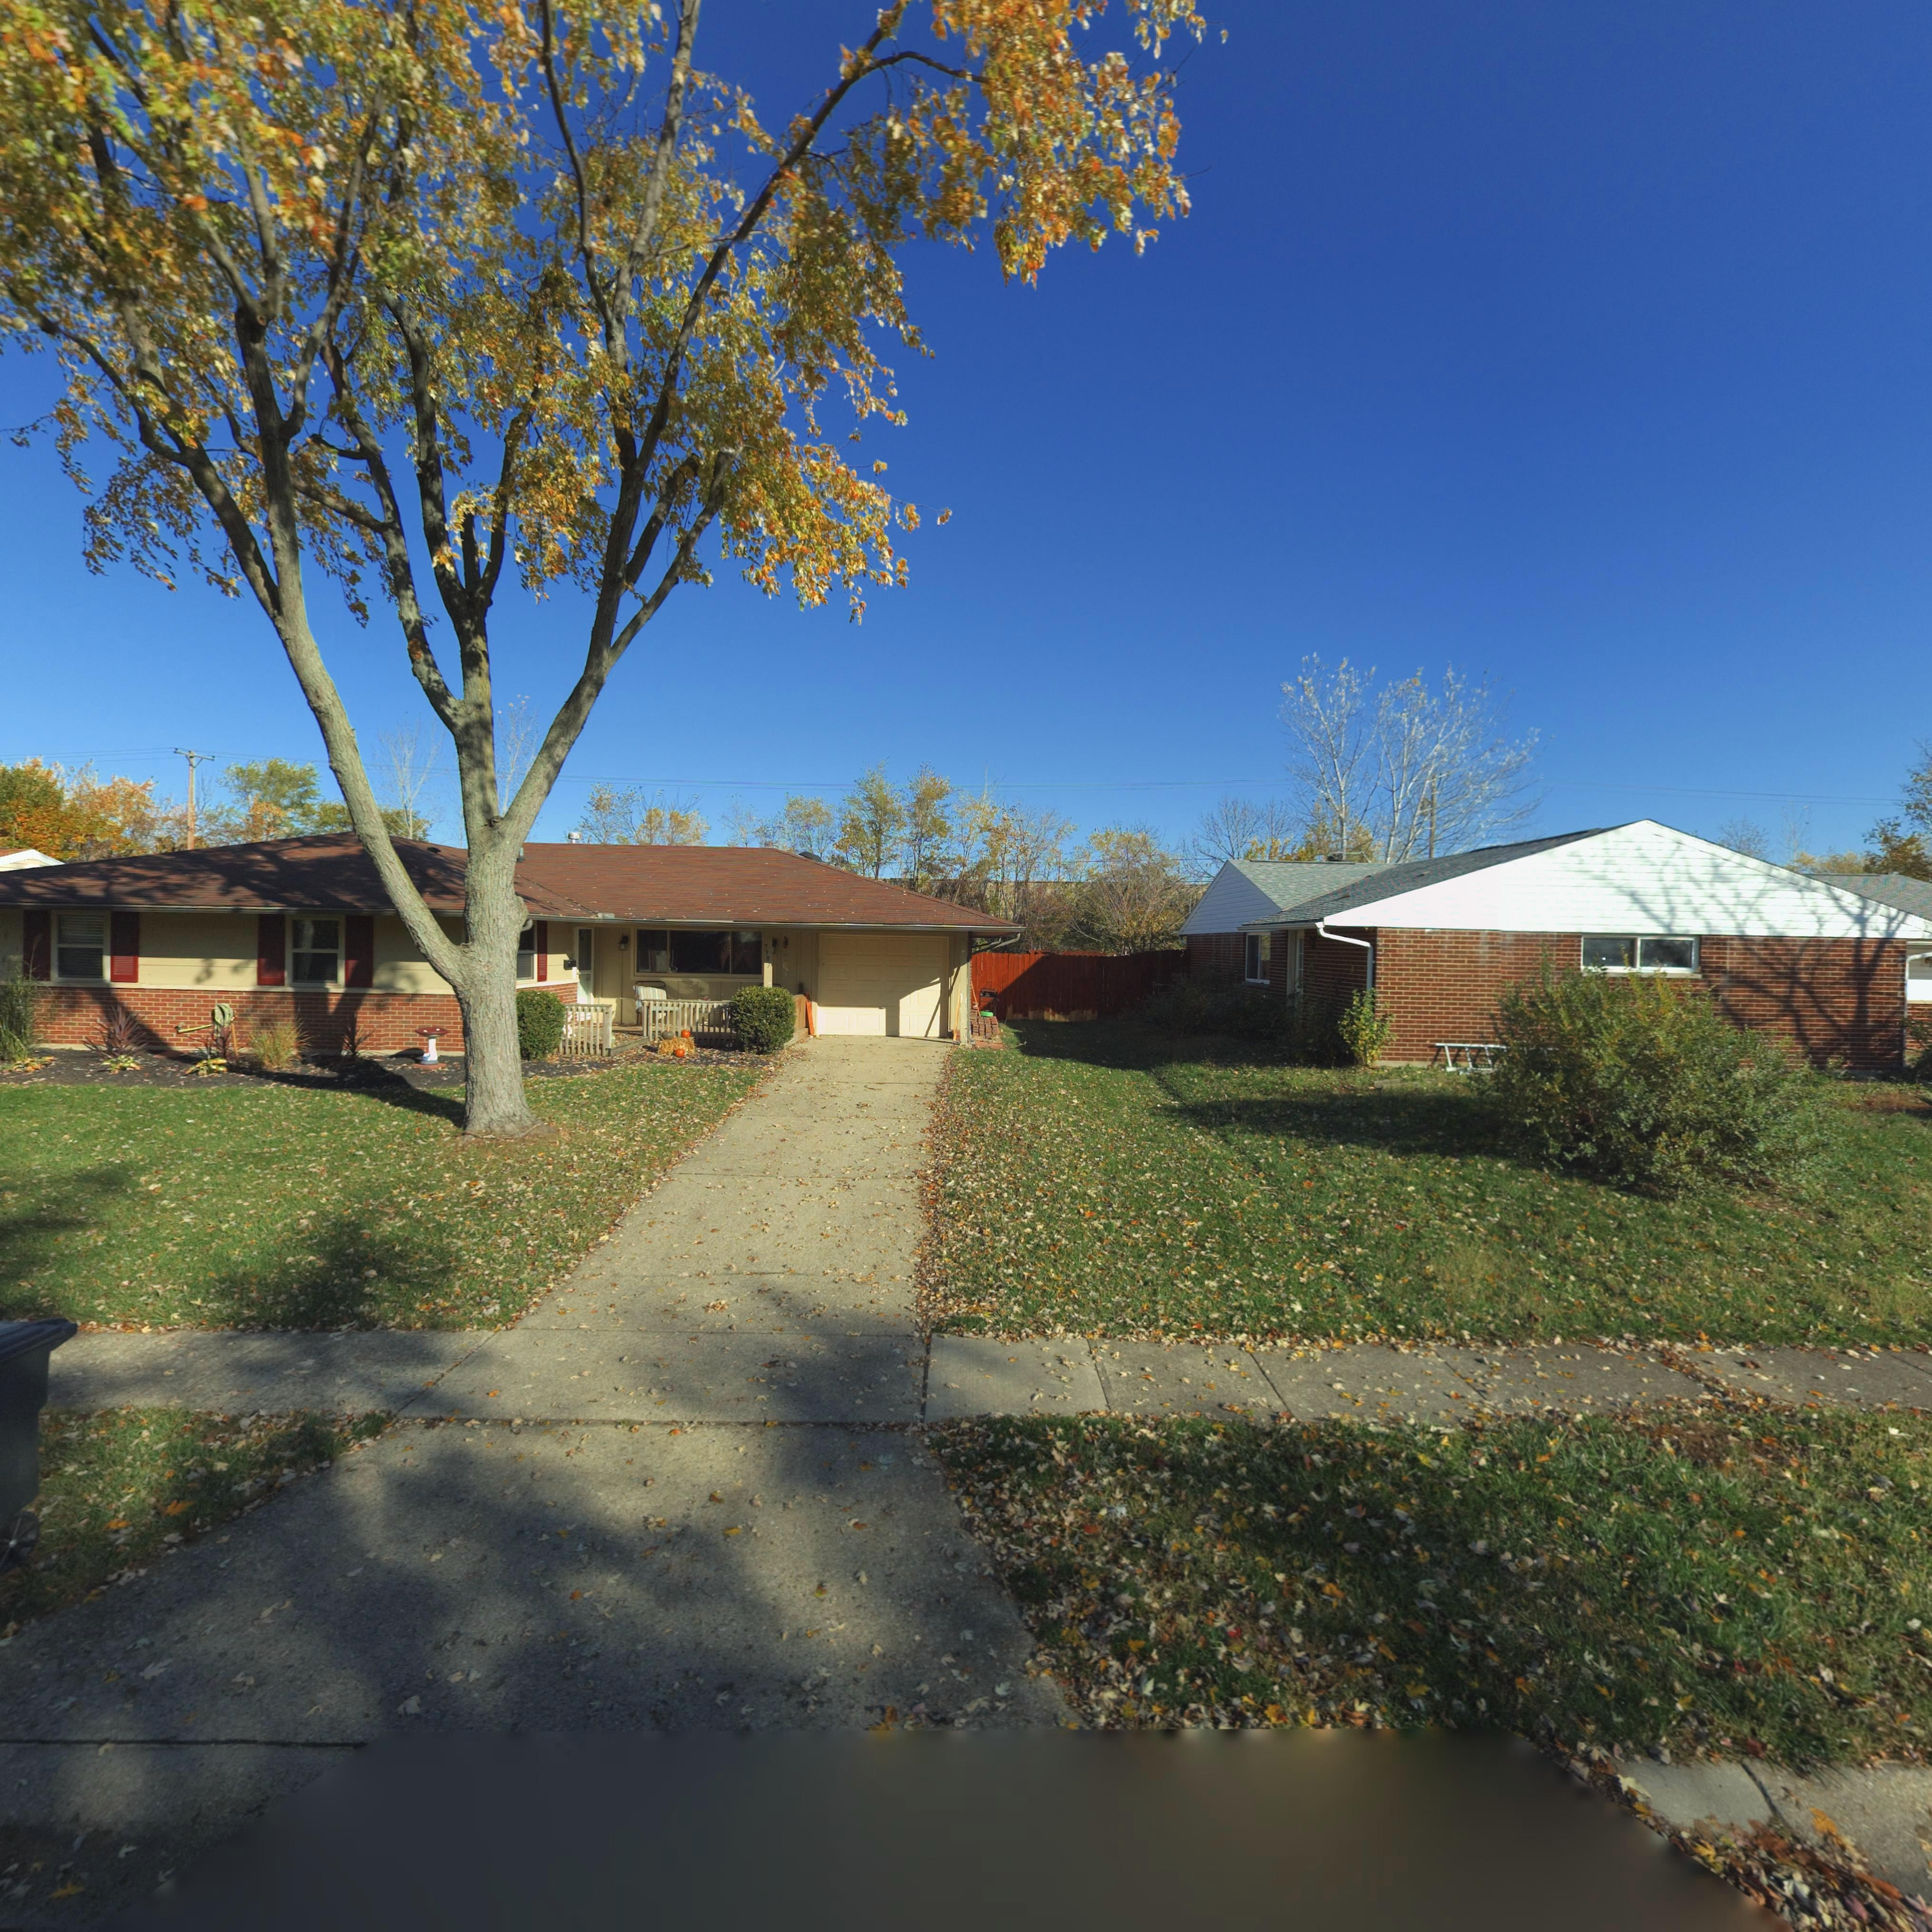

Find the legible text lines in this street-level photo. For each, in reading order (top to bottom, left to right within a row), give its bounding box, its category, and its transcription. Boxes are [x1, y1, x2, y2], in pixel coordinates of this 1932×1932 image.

[763, 943, 773, 969] StreetNumber: 7987